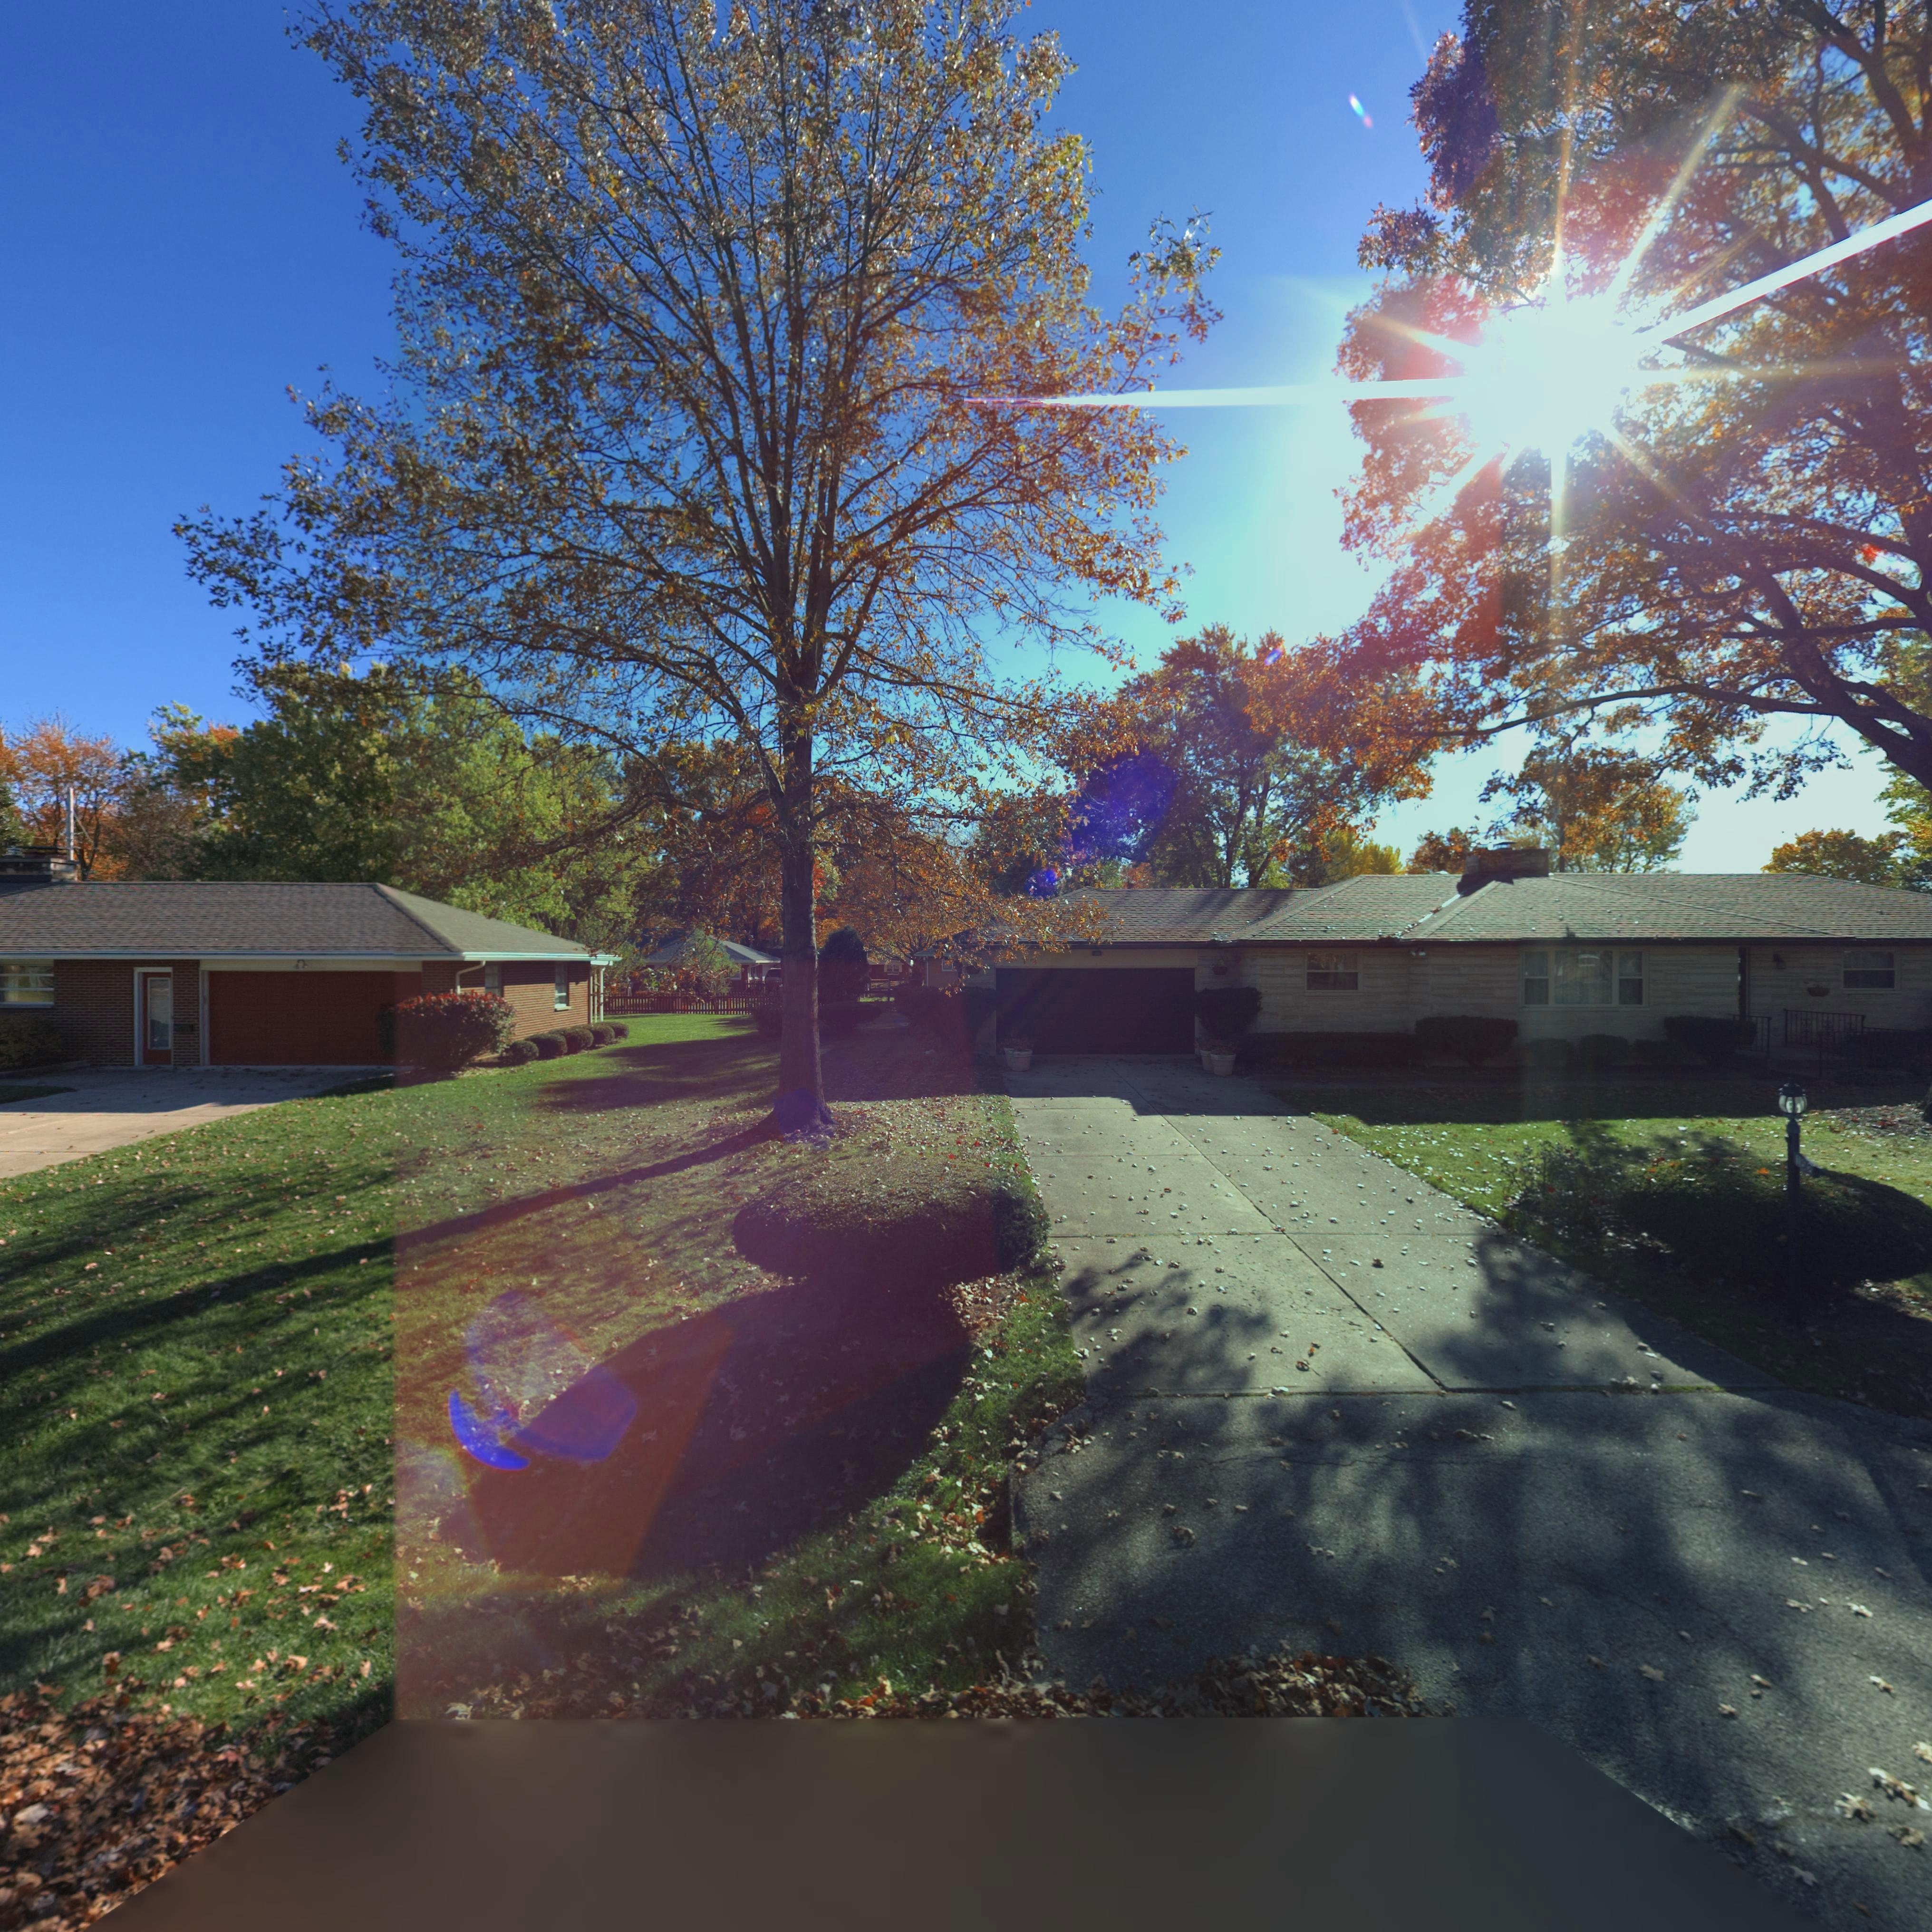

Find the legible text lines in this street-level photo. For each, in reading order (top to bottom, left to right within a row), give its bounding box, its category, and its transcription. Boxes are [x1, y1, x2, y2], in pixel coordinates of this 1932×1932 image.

[1796, 1154, 1811, 1175] StreetNumber: 152